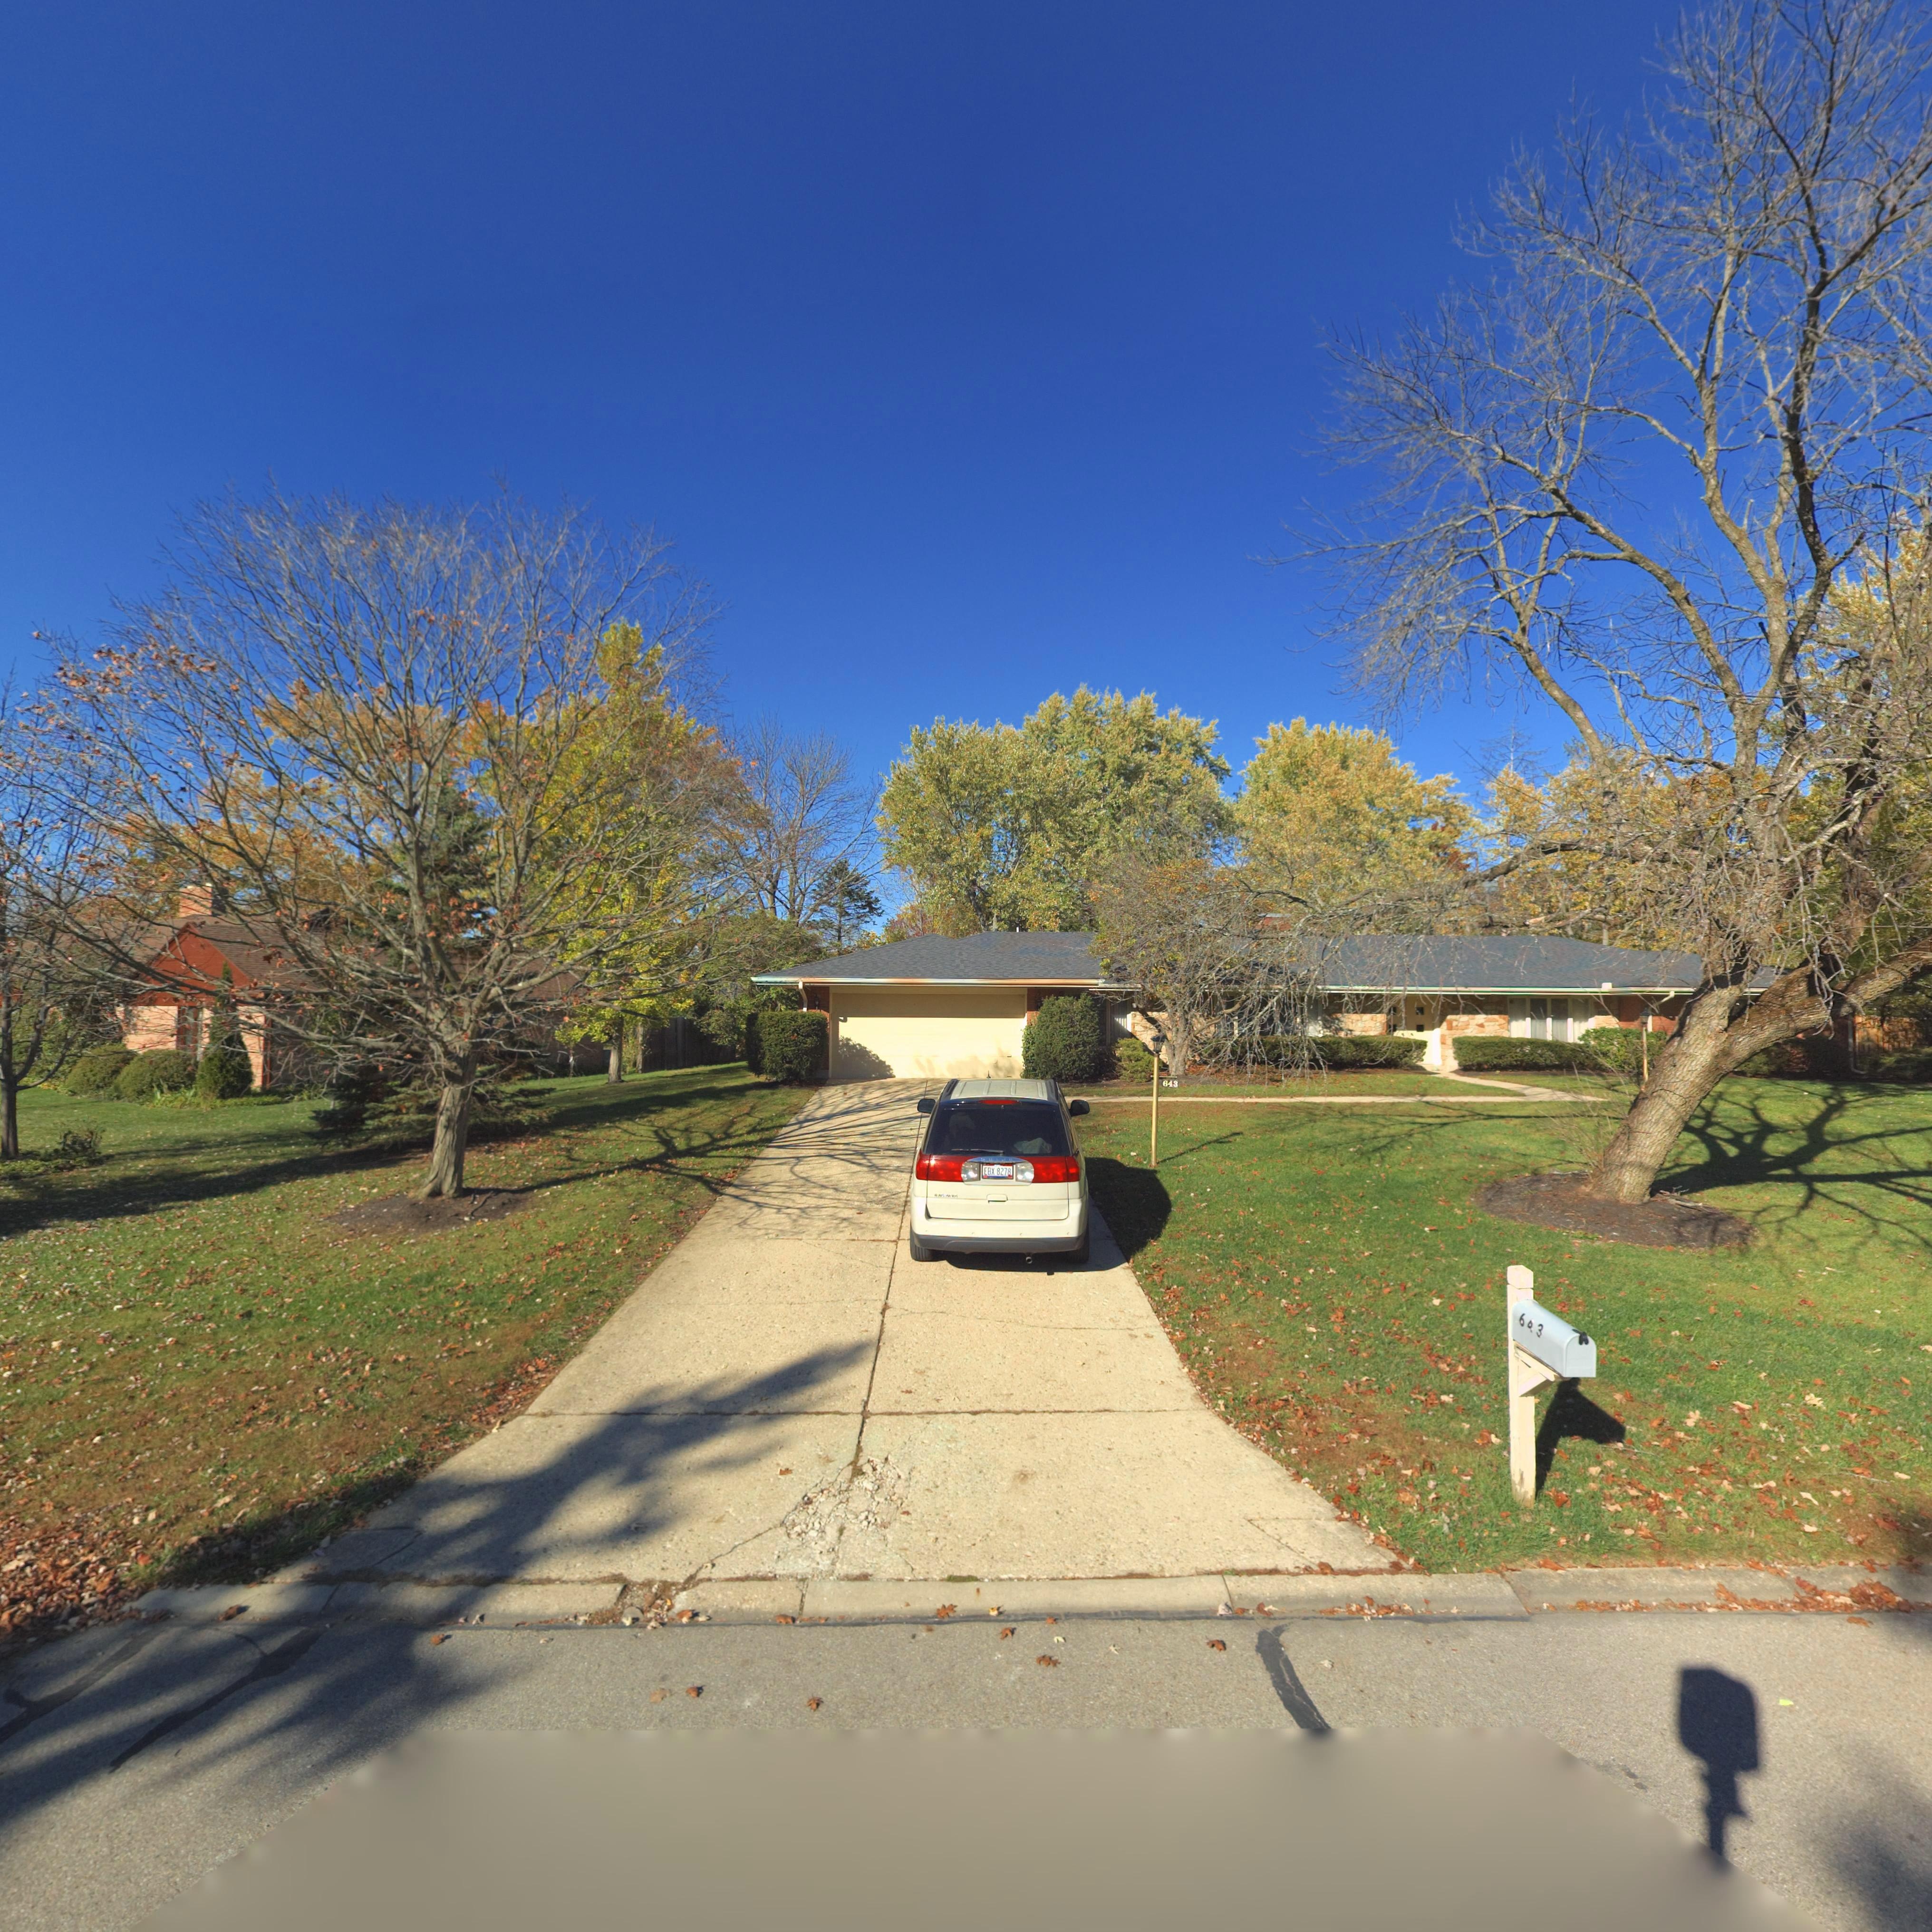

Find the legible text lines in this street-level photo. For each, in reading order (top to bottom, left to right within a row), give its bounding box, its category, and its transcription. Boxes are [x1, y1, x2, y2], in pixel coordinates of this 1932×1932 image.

[1162, 1079, 1179, 1087] StreetNumber: 643
[1519, 1310, 1545, 1340] StreetNumber: 643